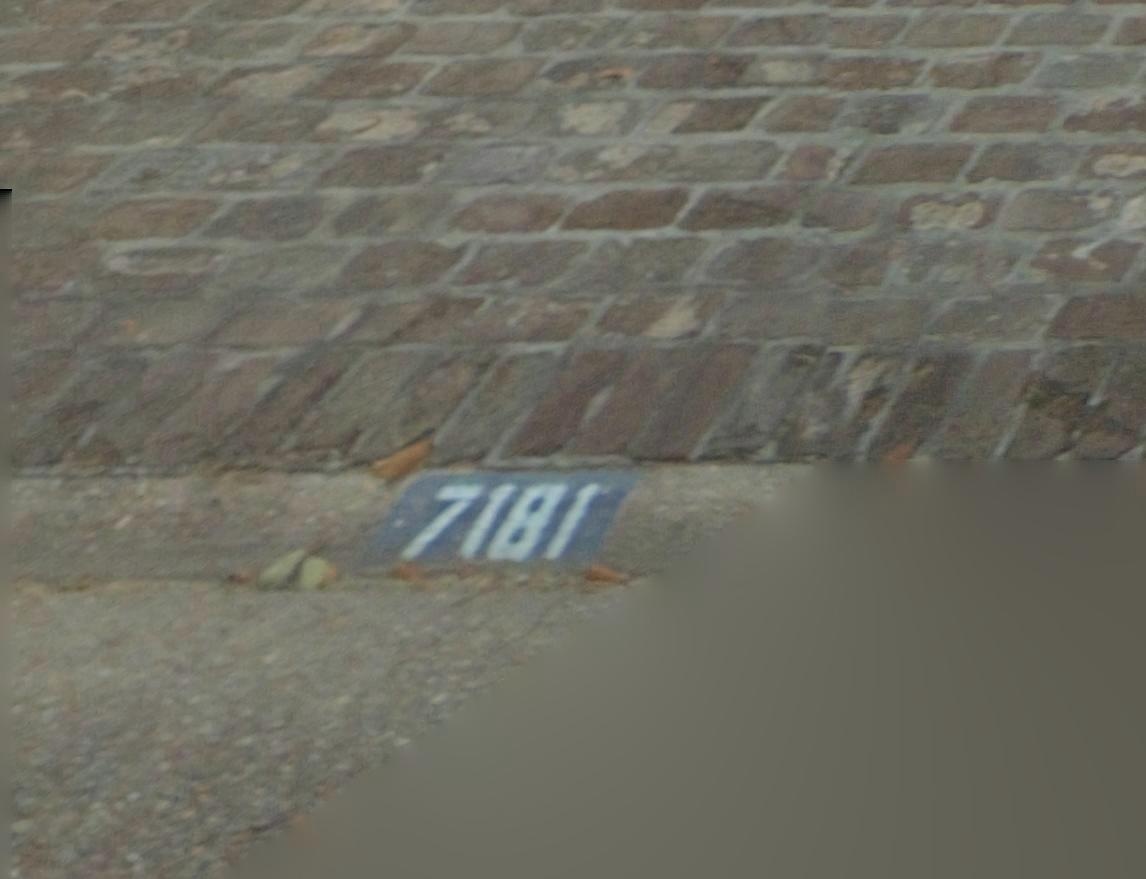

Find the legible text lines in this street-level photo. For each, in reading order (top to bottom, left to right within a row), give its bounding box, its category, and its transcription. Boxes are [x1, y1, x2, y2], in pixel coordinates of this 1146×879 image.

[392, 480, 611, 562] StreetNumber: 7181